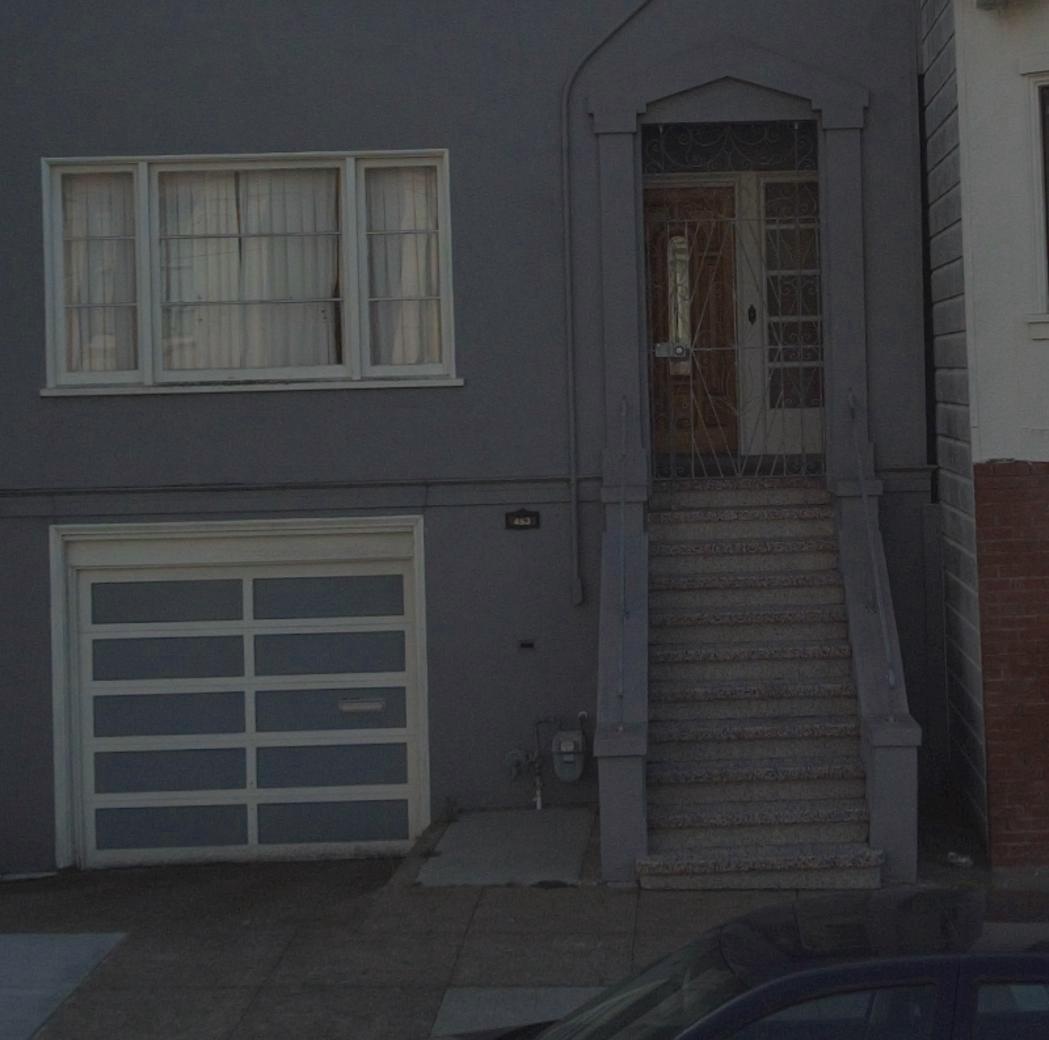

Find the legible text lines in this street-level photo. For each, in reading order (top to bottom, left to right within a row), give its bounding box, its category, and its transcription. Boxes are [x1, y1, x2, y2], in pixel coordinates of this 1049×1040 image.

[512, 516, 532, 526] StreetNumber: 4*3